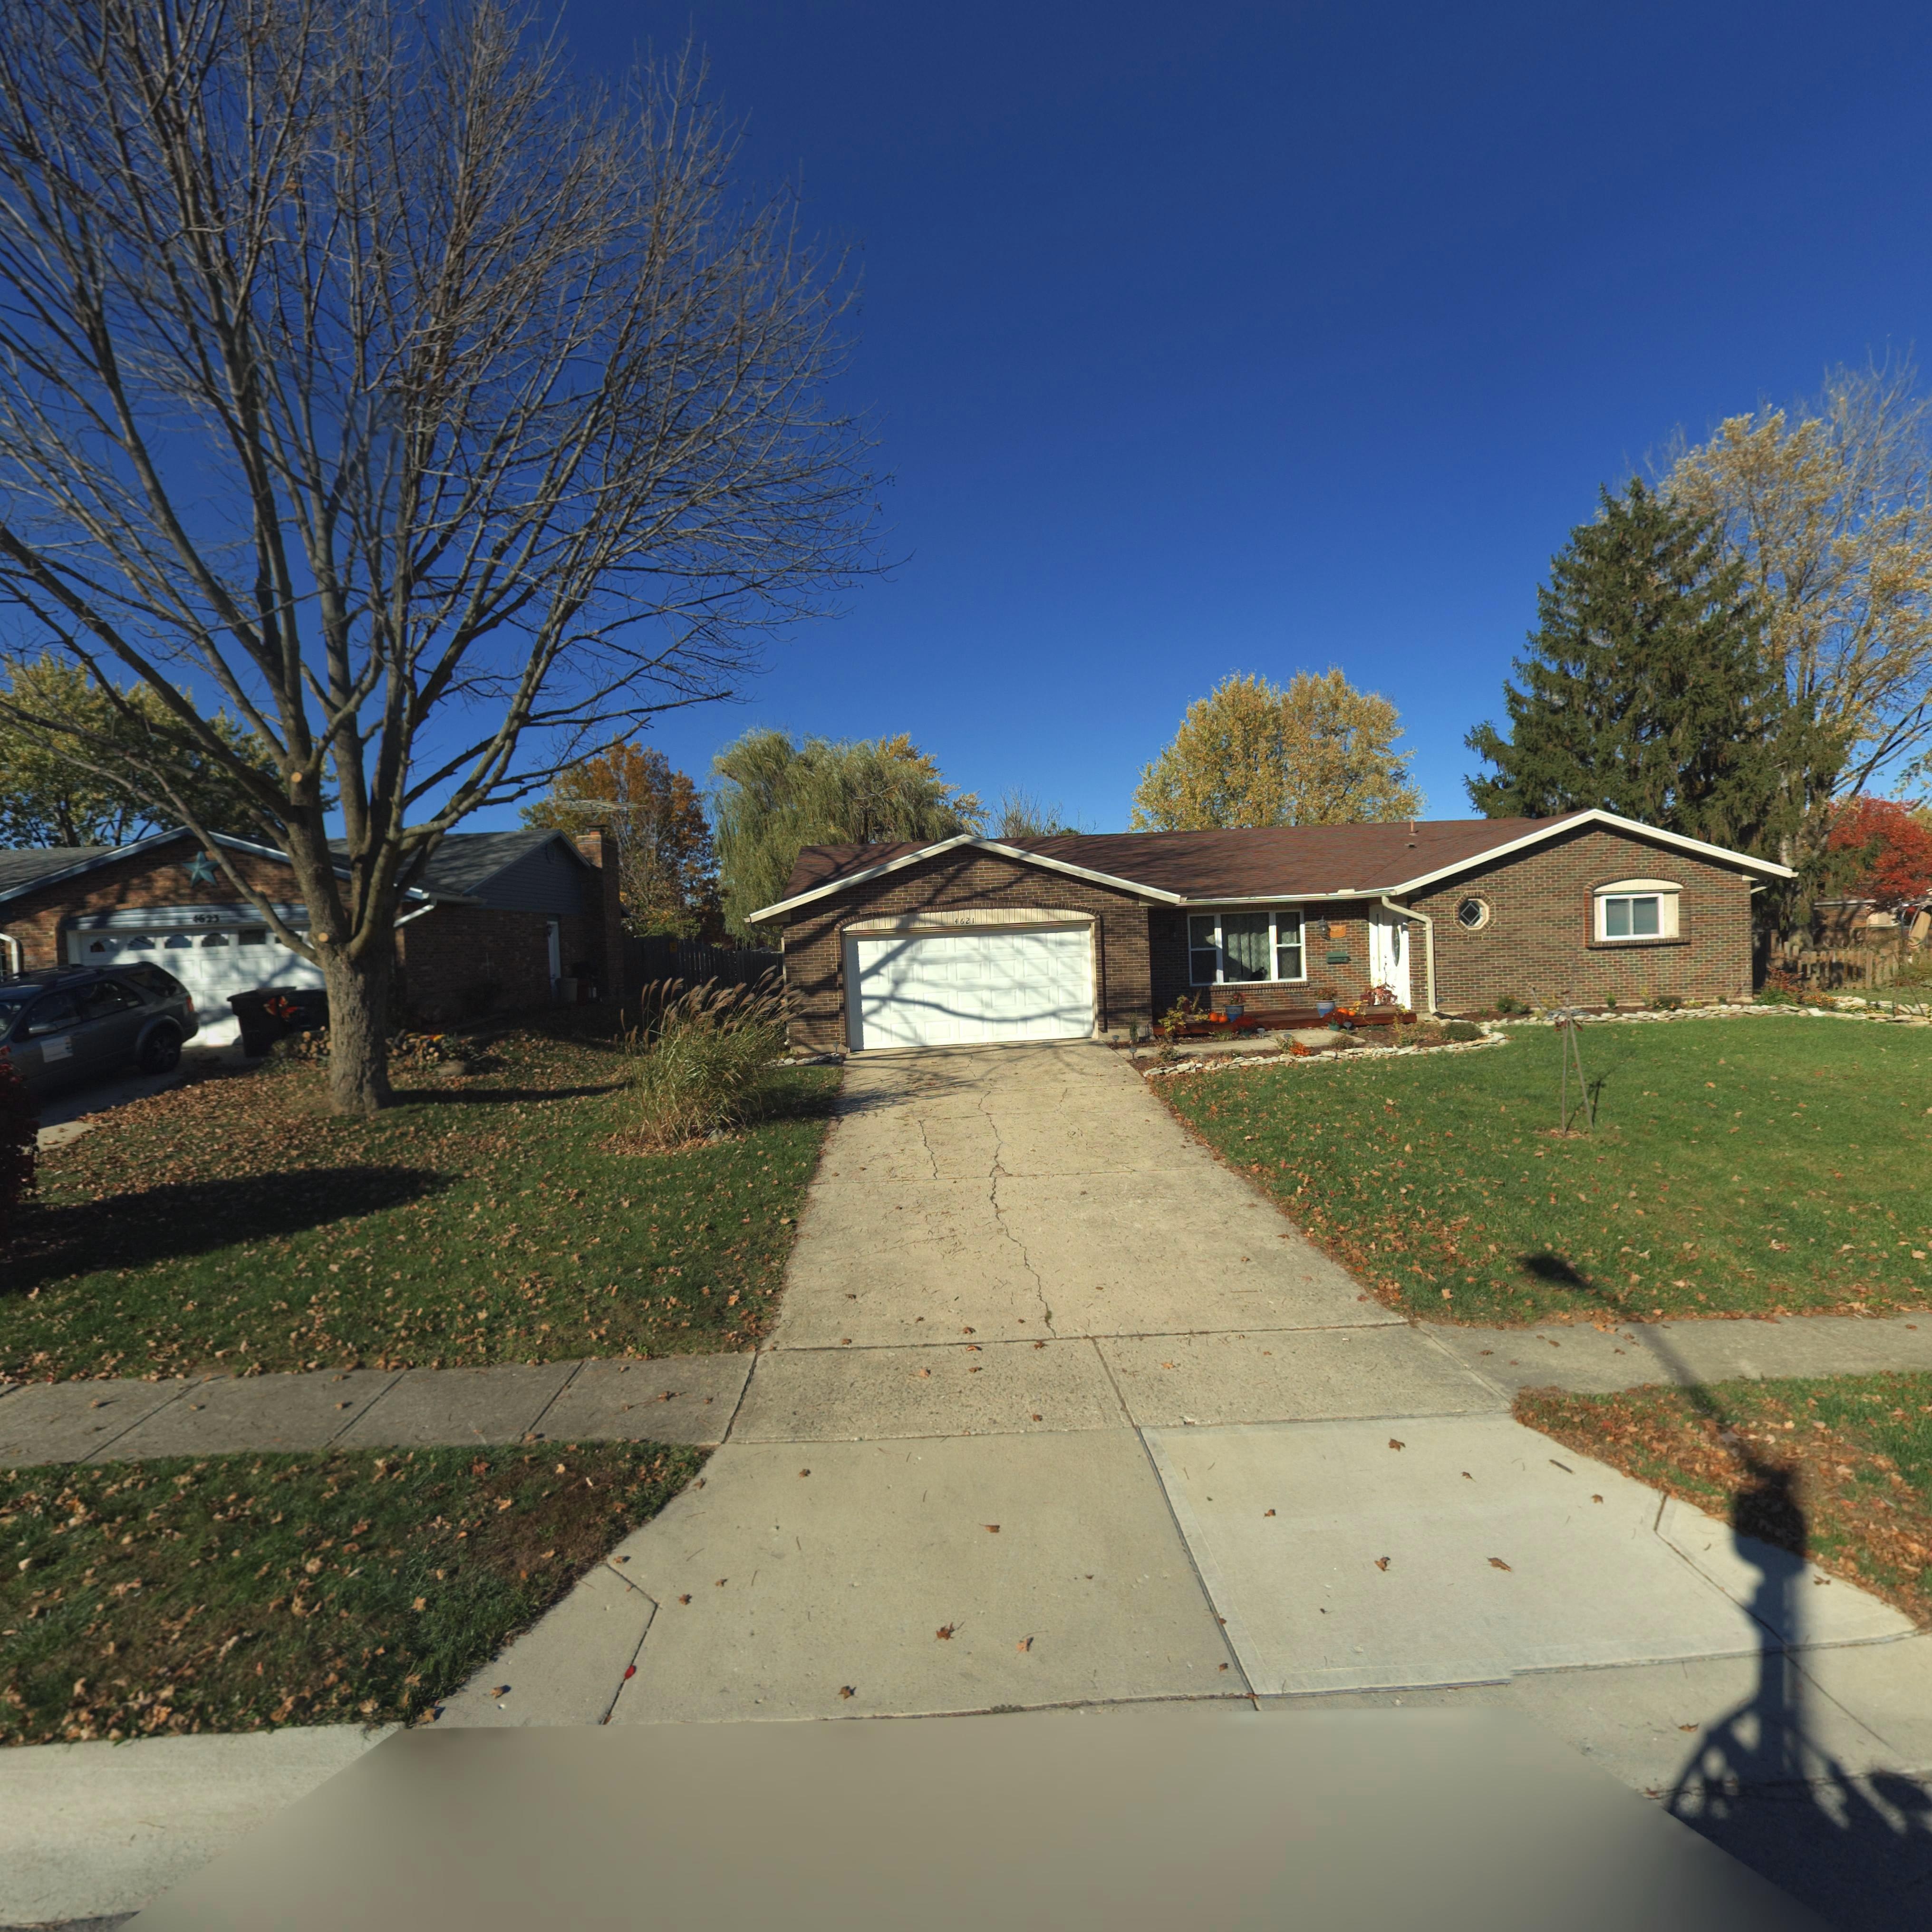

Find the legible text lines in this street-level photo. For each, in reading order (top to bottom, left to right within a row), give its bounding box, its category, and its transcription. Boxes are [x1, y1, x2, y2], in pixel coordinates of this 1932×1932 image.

[192, 914, 220, 924] StreetNumber: 4623
[953, 917, 975, 925] StreetNumber: 4621